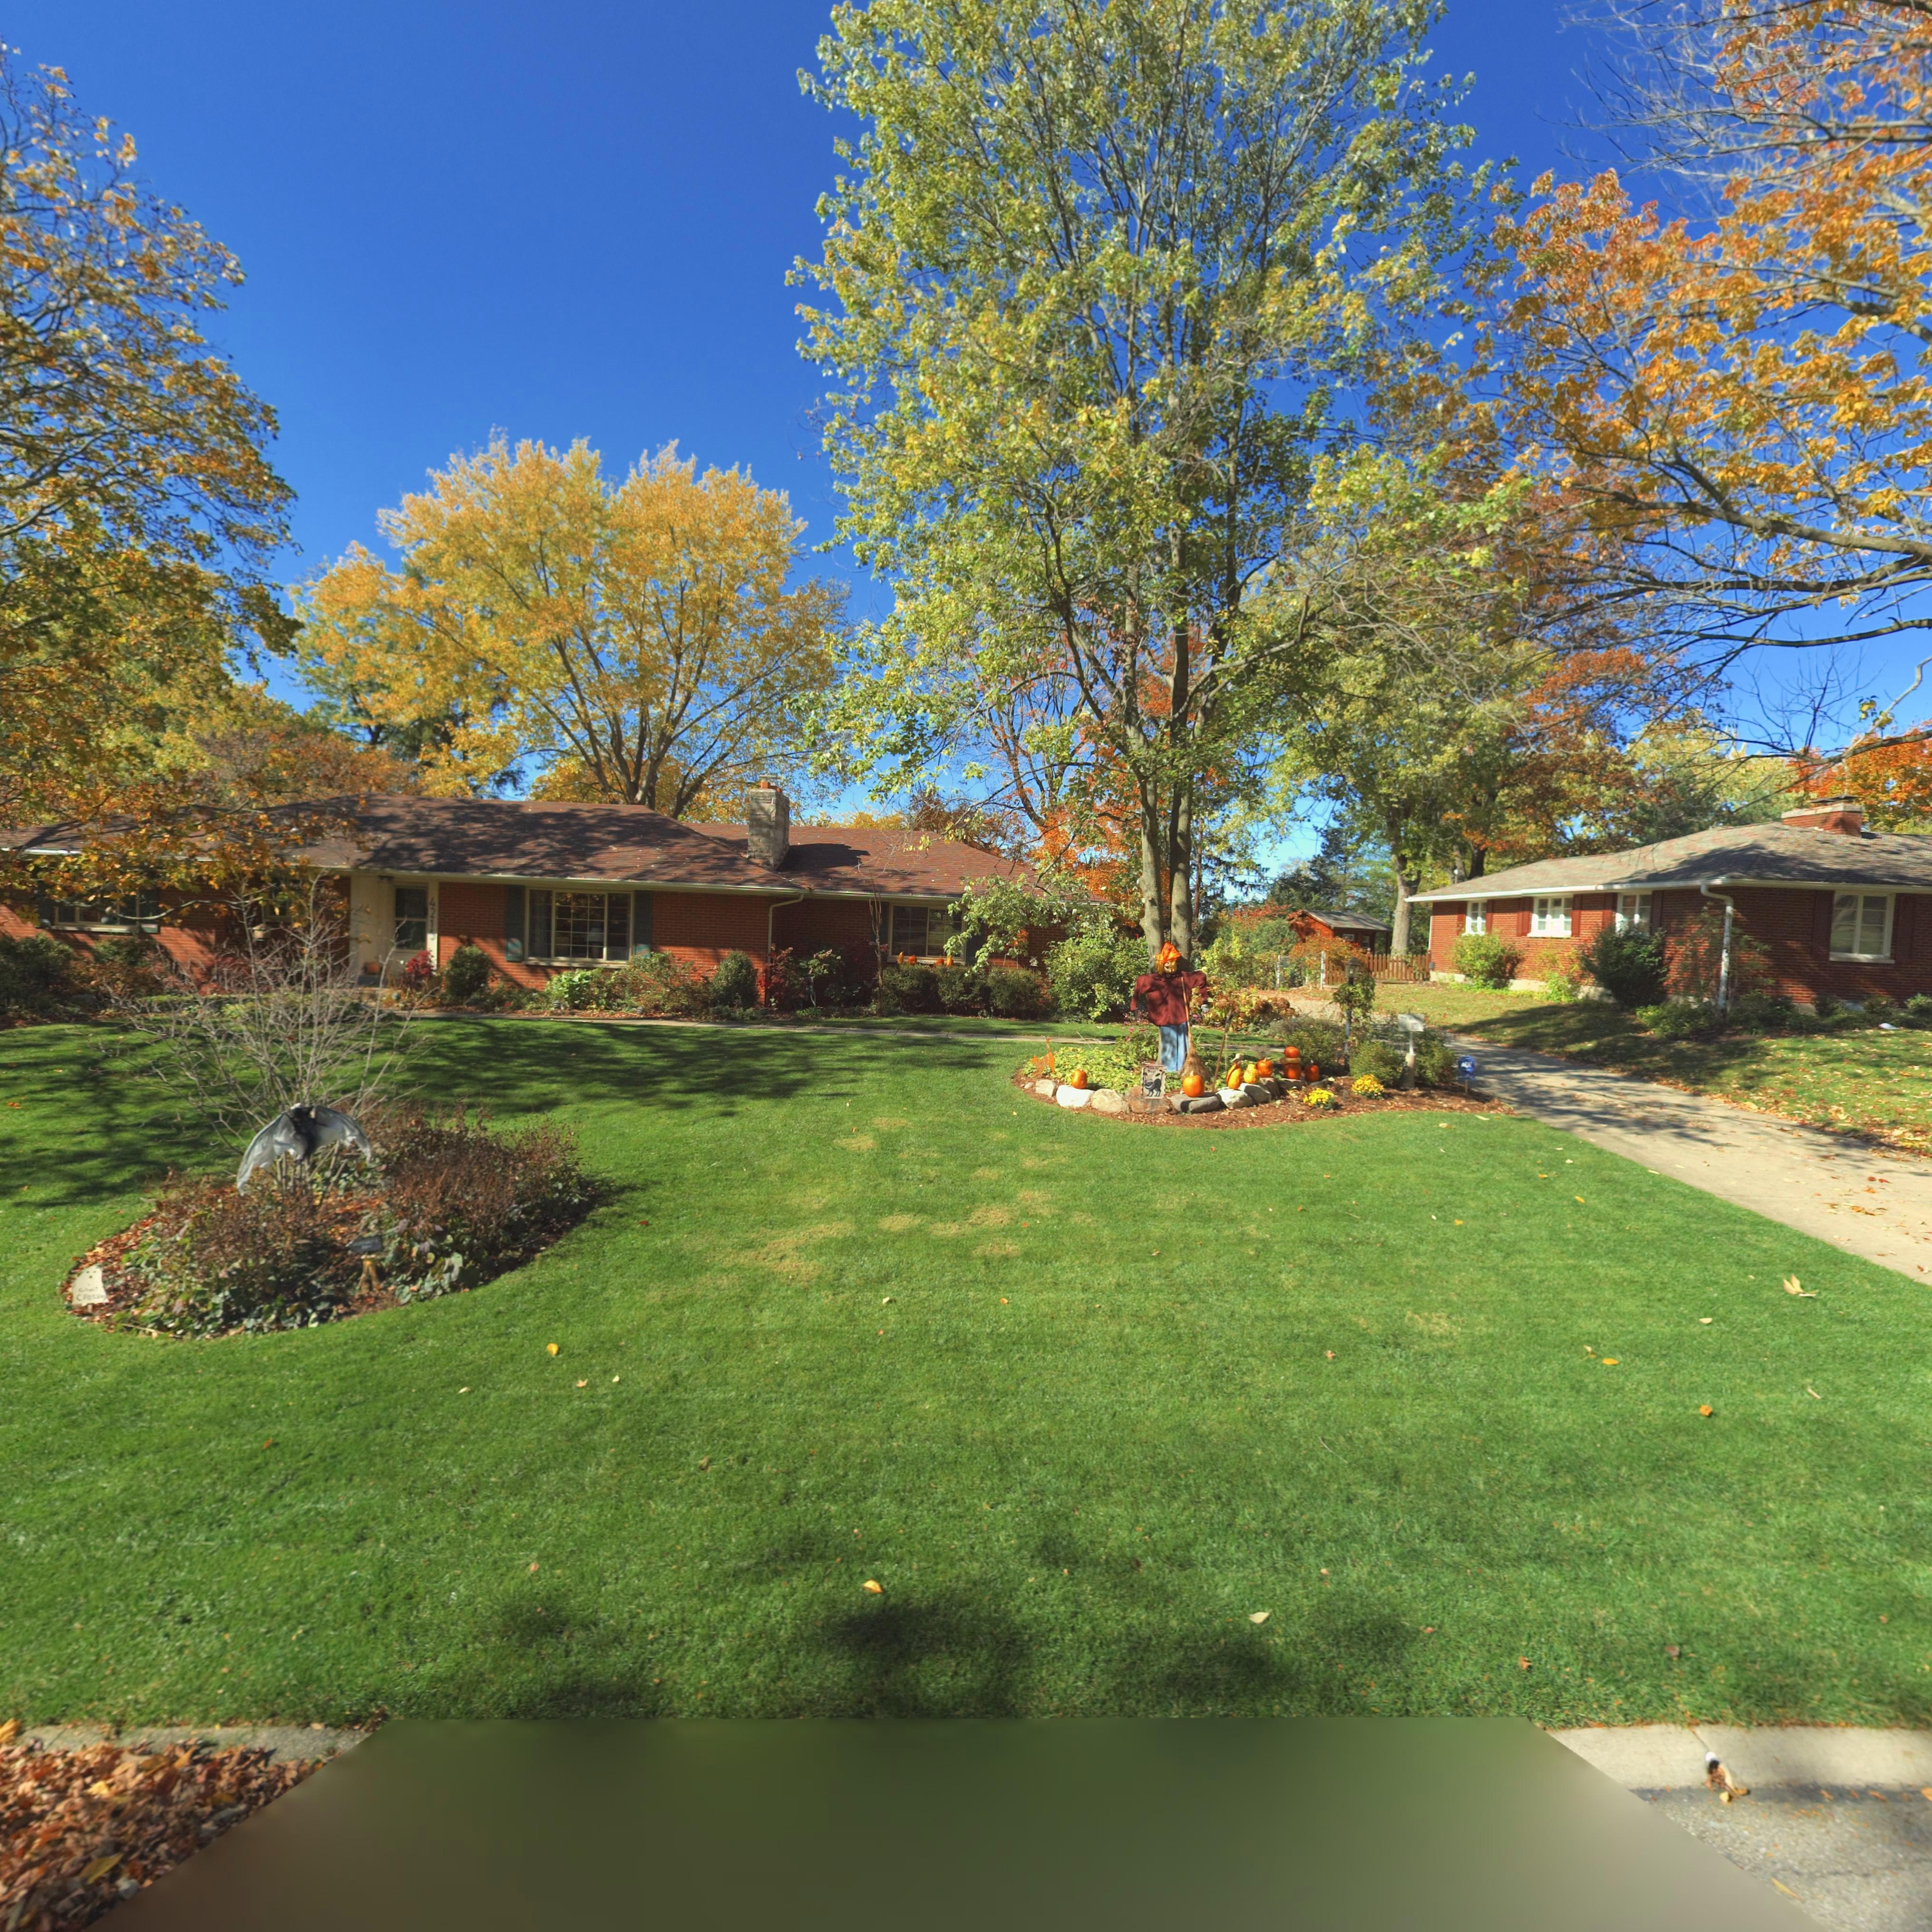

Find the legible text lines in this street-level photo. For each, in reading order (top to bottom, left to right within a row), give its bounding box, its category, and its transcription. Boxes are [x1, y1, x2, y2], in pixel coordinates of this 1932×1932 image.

[428, 897, 436, 941] StreetNumber: 4215